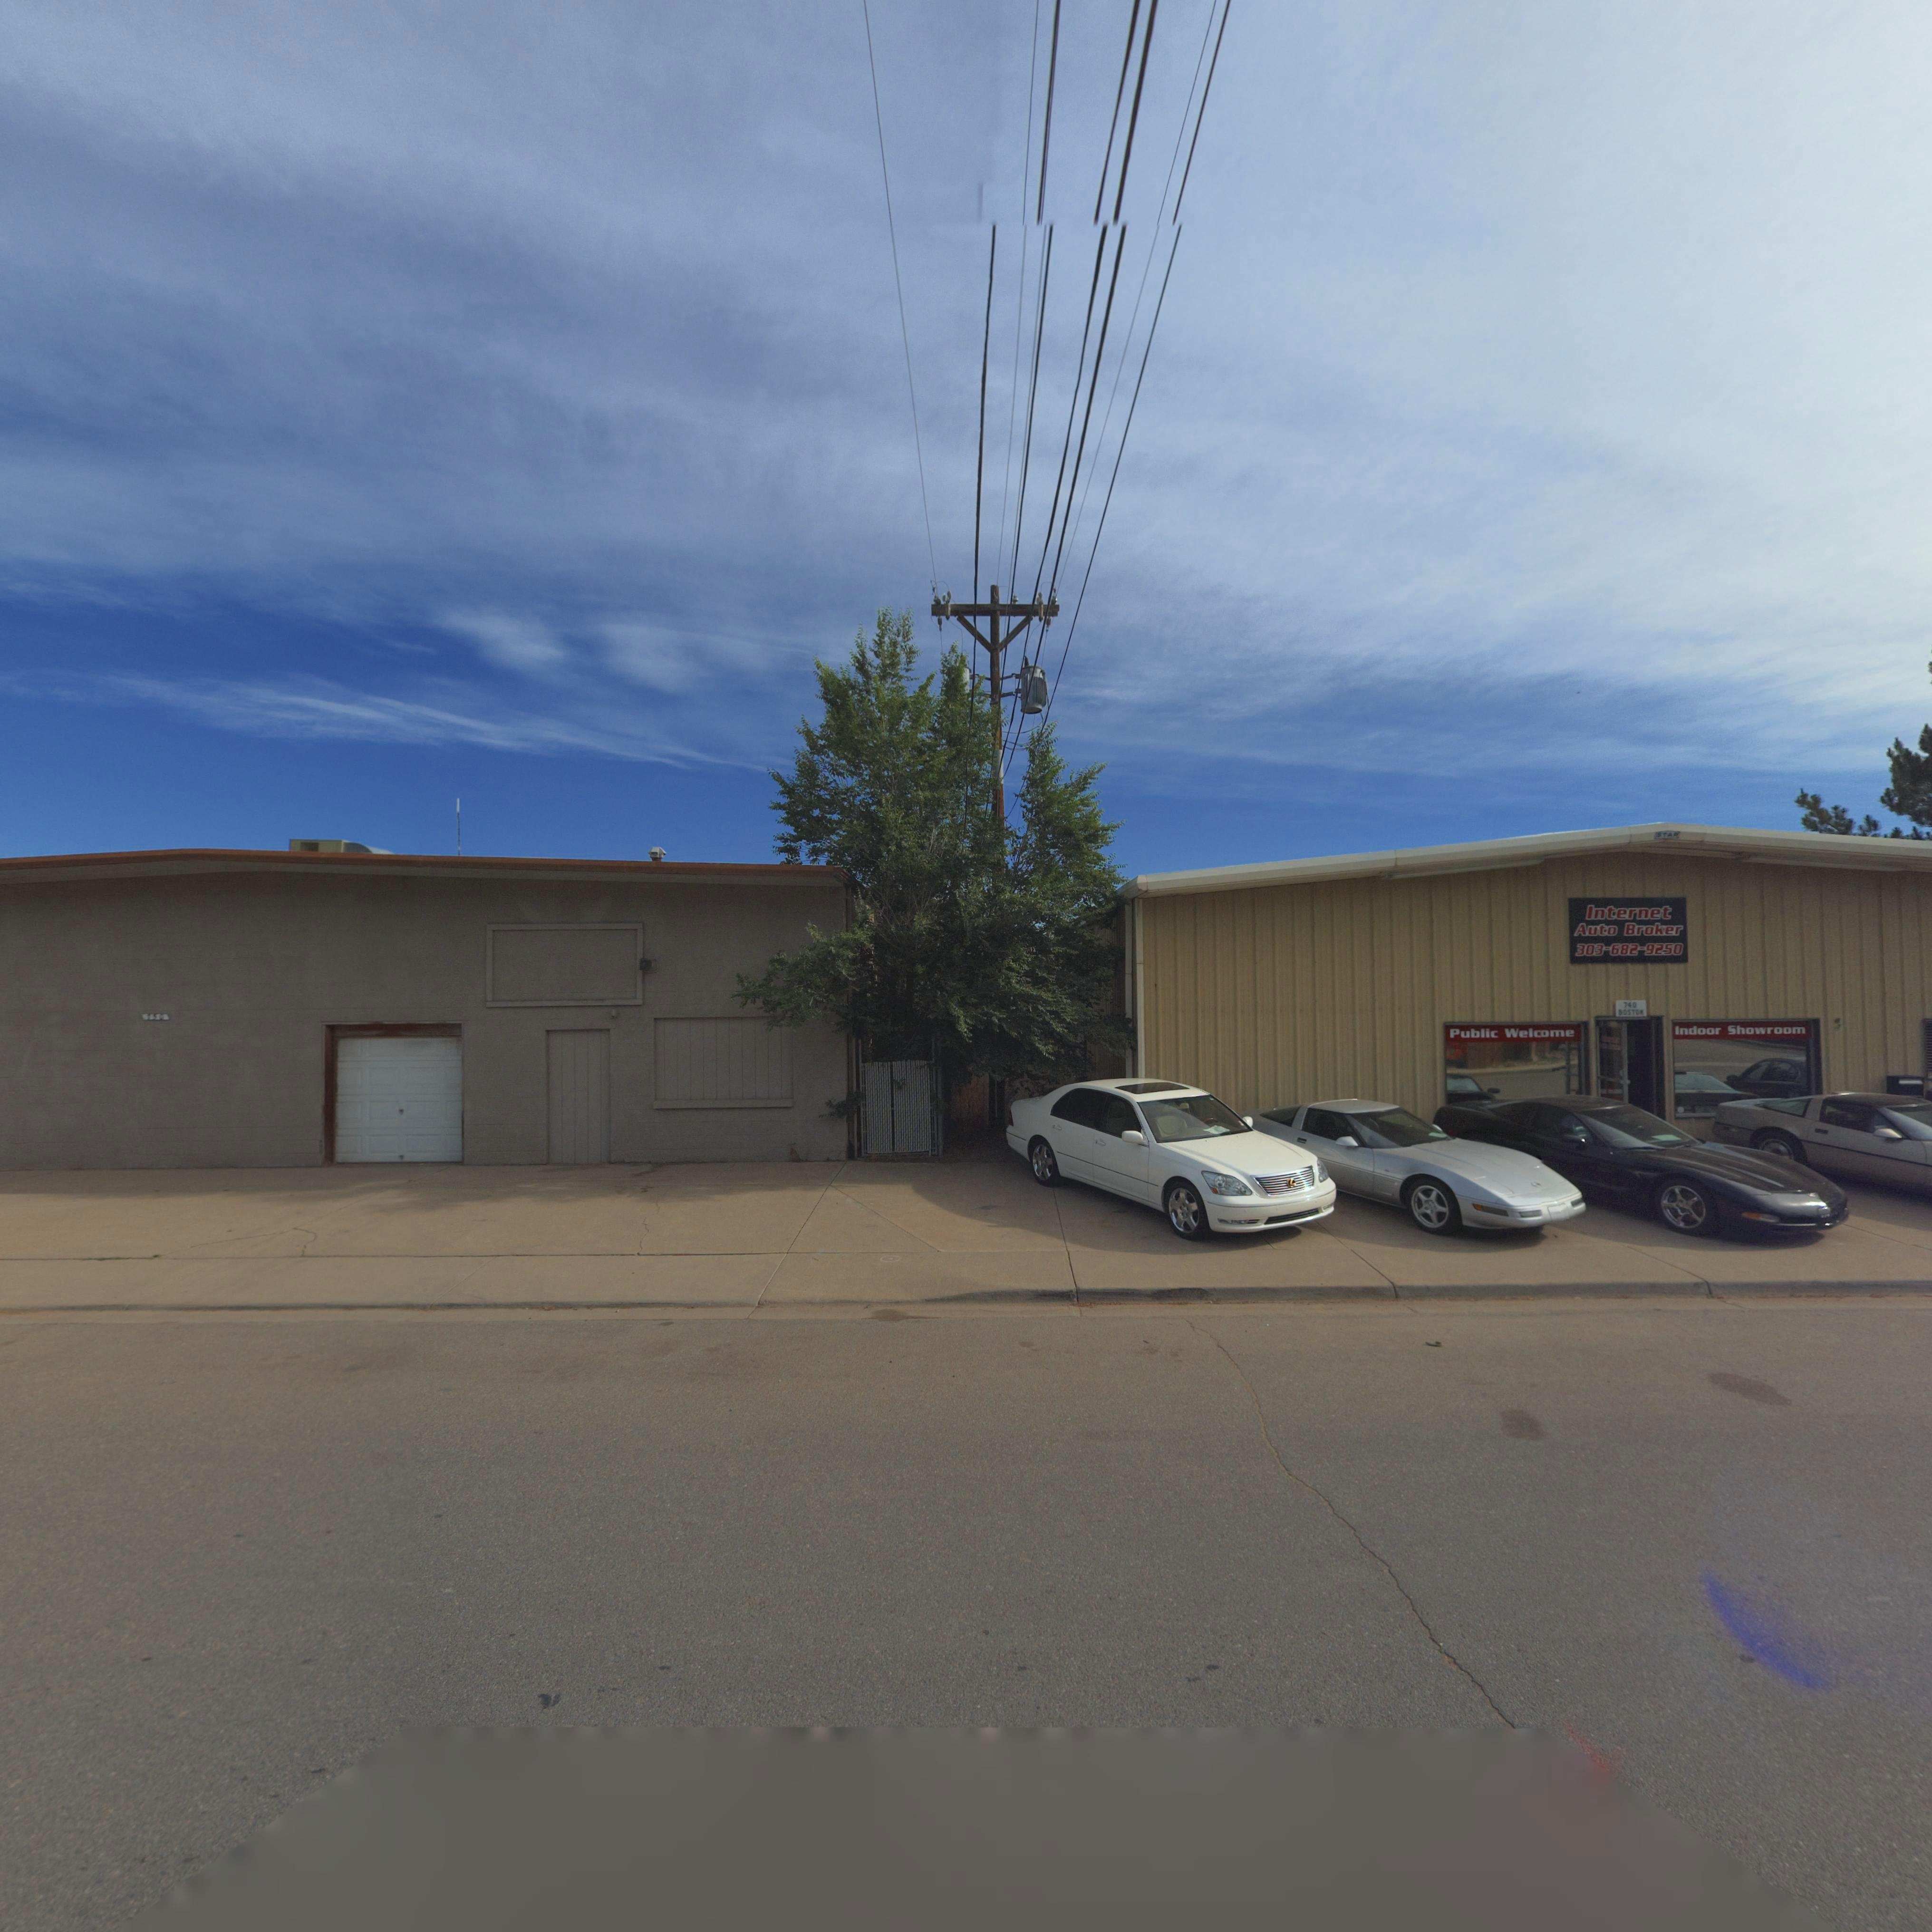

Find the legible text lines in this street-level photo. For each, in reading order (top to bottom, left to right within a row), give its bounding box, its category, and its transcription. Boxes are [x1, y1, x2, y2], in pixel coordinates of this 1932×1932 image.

[1586, 904, 1672, 920] BusinessName: Internet
[1573, 921, 1682, 937] BusinessName: Auto Broker
[1623, 1001, 1637, 1008] StreetNumber: 740
[1617, 1008, 1644, 1016] StreetName: BOSTON